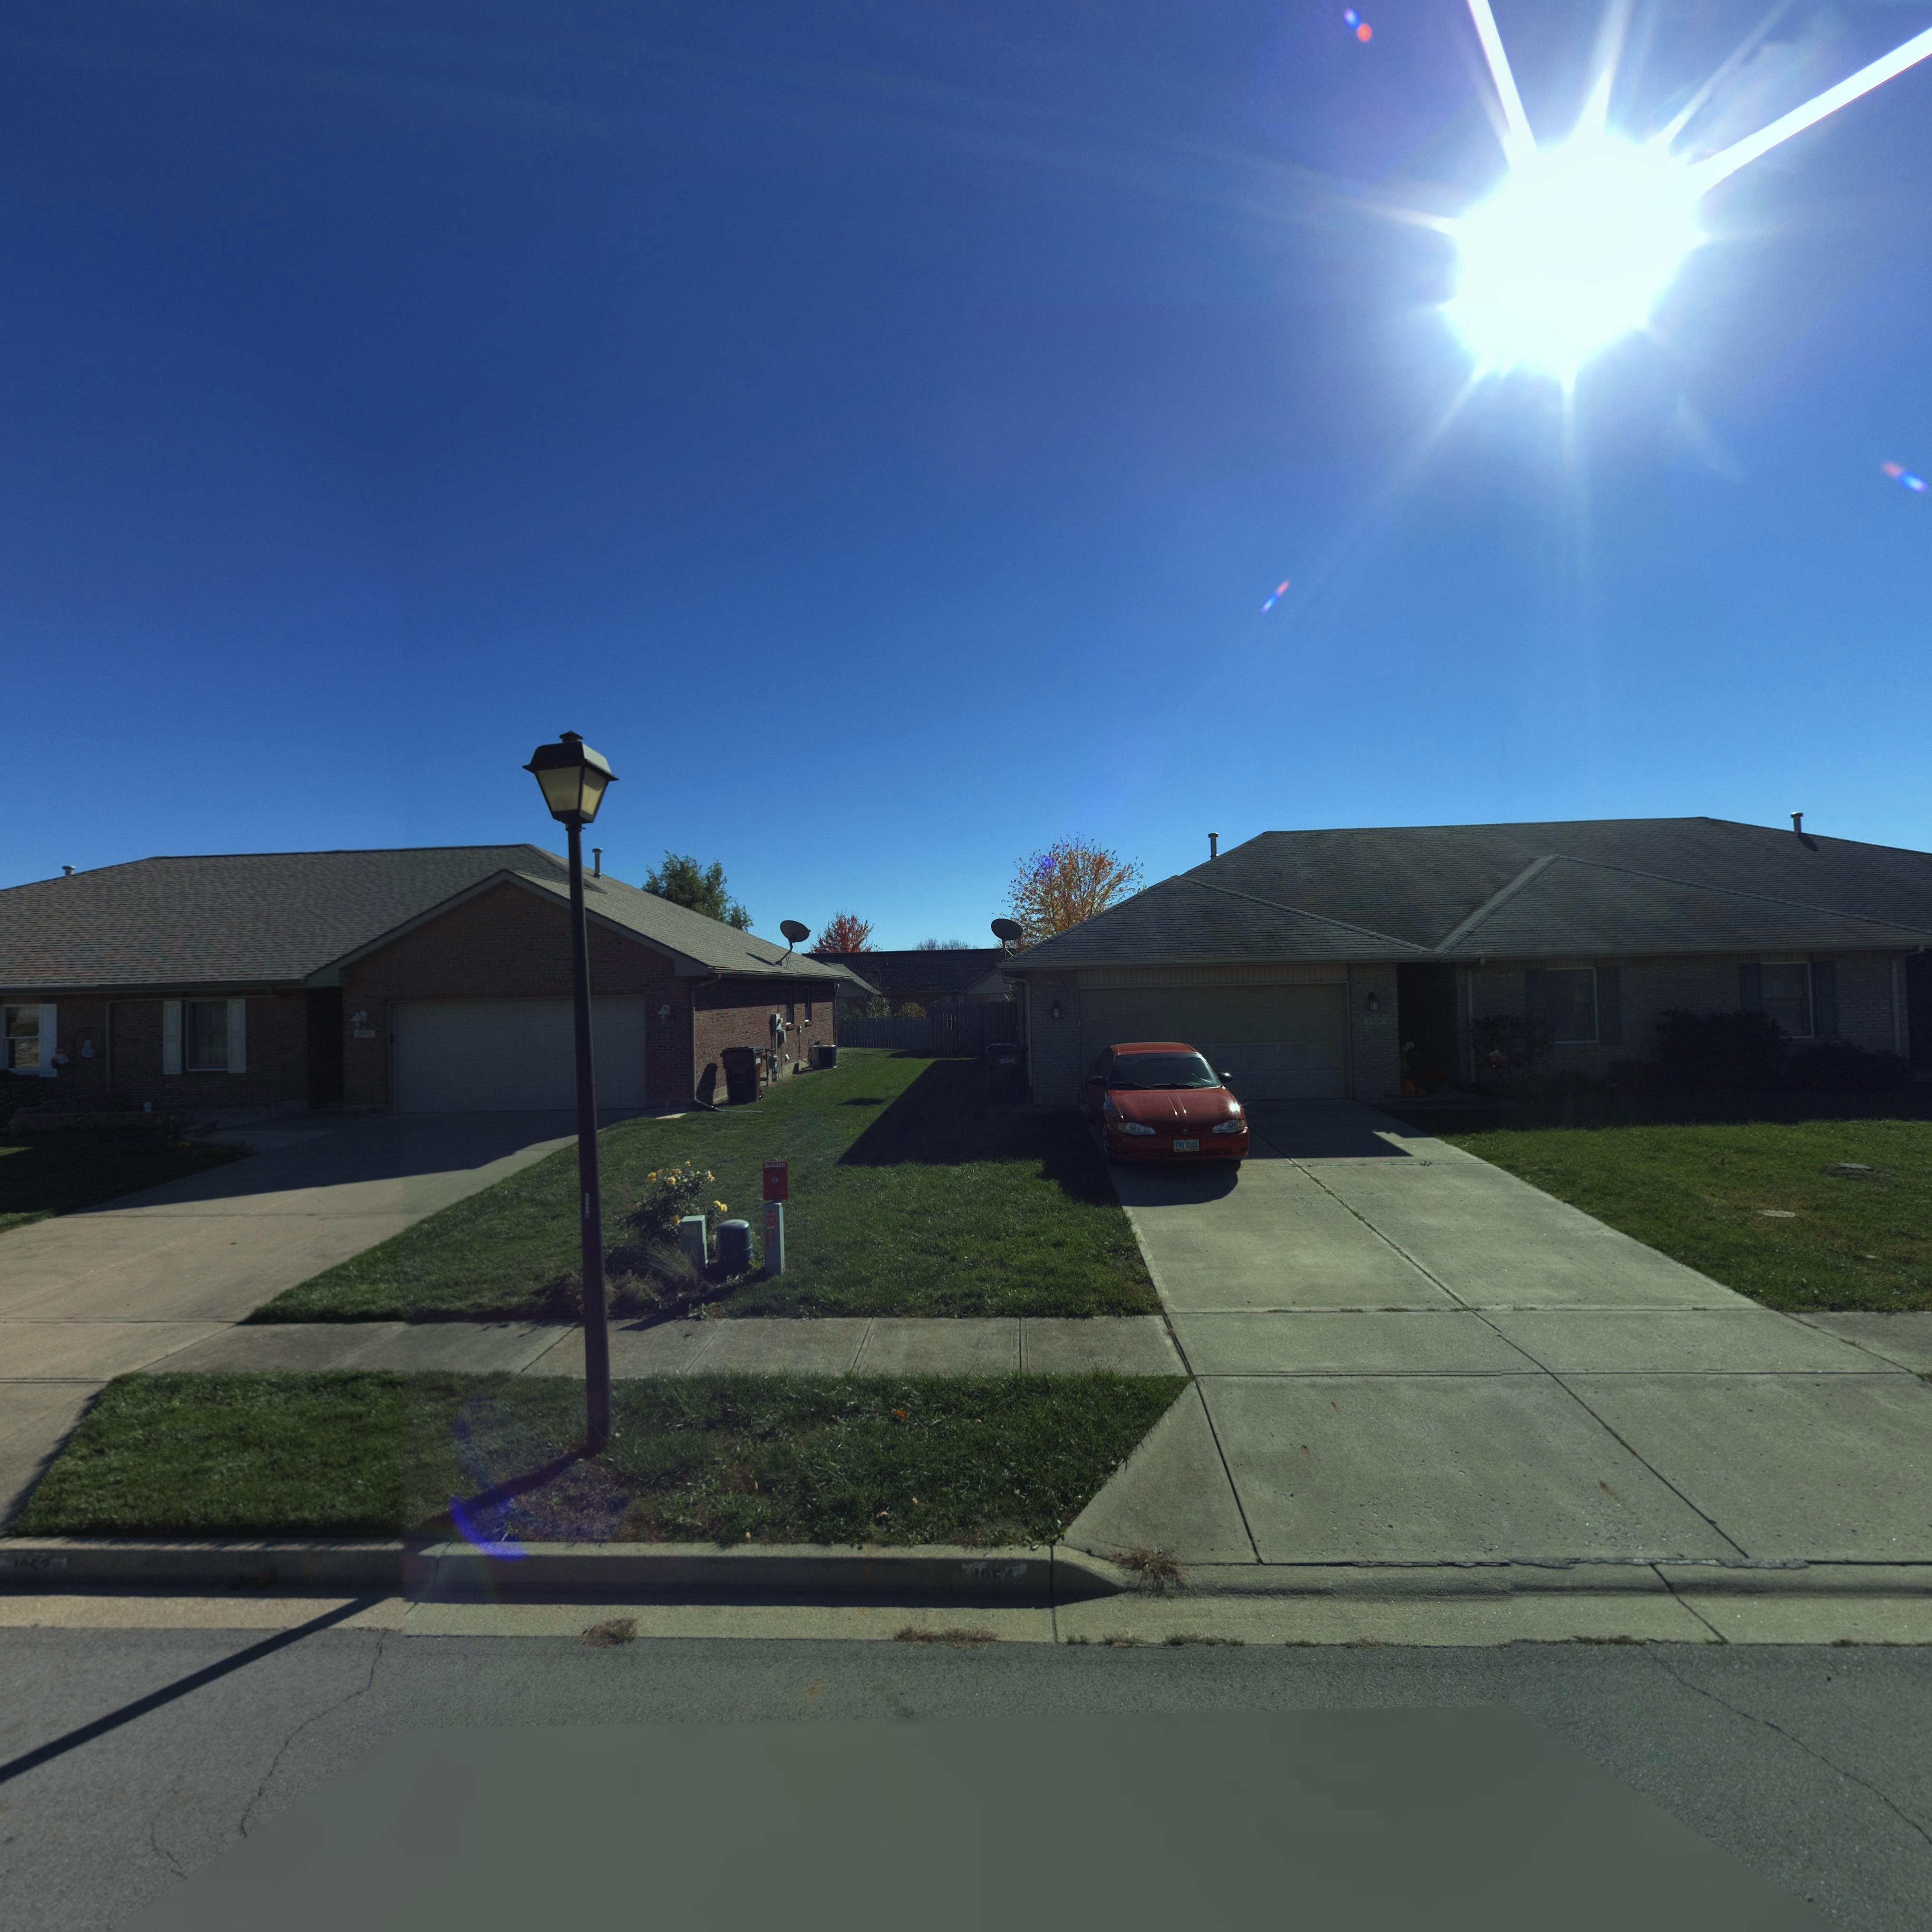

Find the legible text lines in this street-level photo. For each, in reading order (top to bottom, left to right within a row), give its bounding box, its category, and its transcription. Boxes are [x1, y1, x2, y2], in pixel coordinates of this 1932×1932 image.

[1367, 1017, 1383, 1025] StreetNumber: 195*